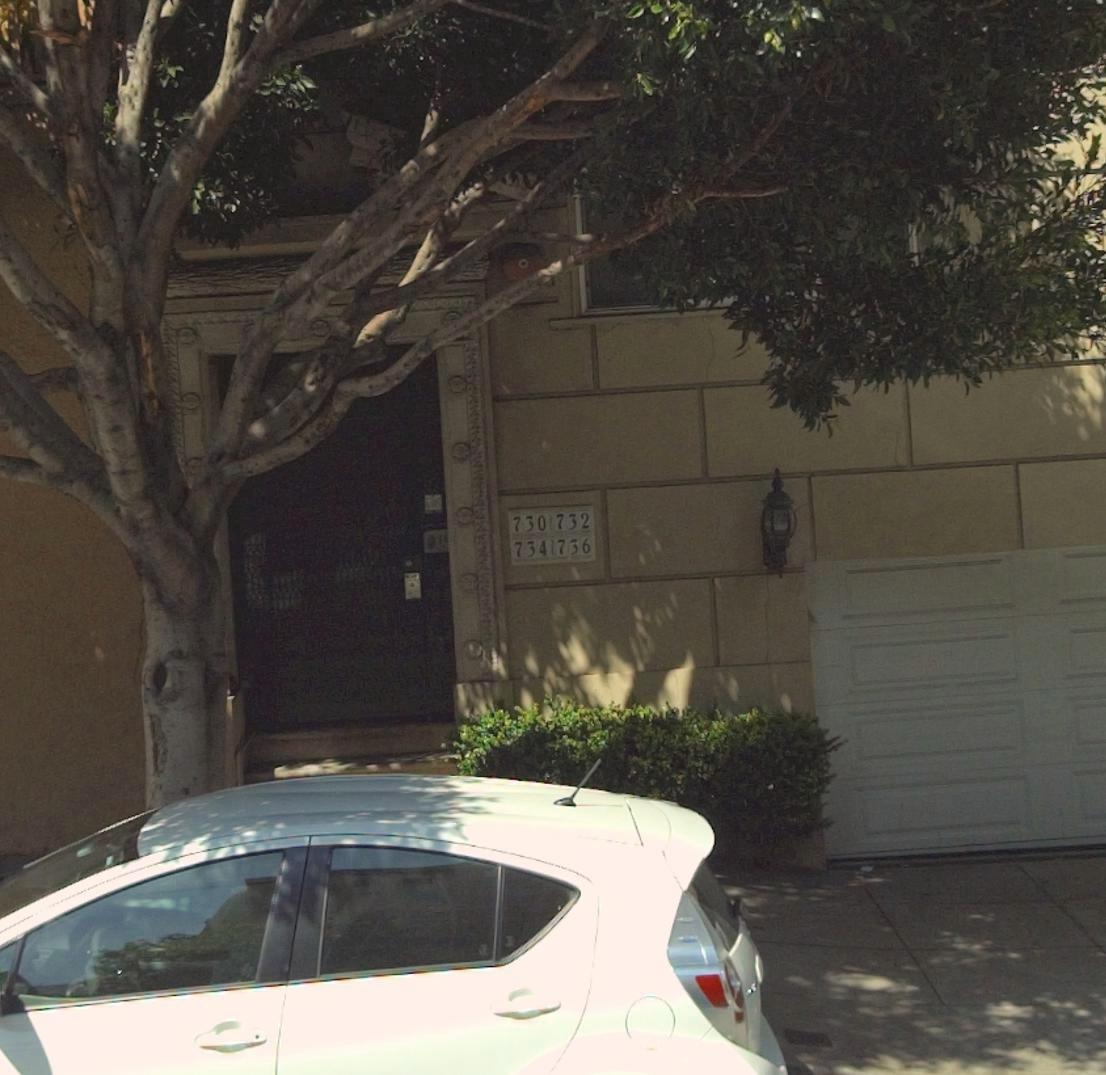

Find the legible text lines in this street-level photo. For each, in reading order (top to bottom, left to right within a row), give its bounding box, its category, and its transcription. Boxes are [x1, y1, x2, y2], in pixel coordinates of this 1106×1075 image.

[511, 514, 549, 534] StreetNumber: 730
[554, 511, 593, 532] StreetNumber: 732
[512, 539, 550, 559] StreetNumber: 734
[555, 536, 591, 557] StreetNumber: 736